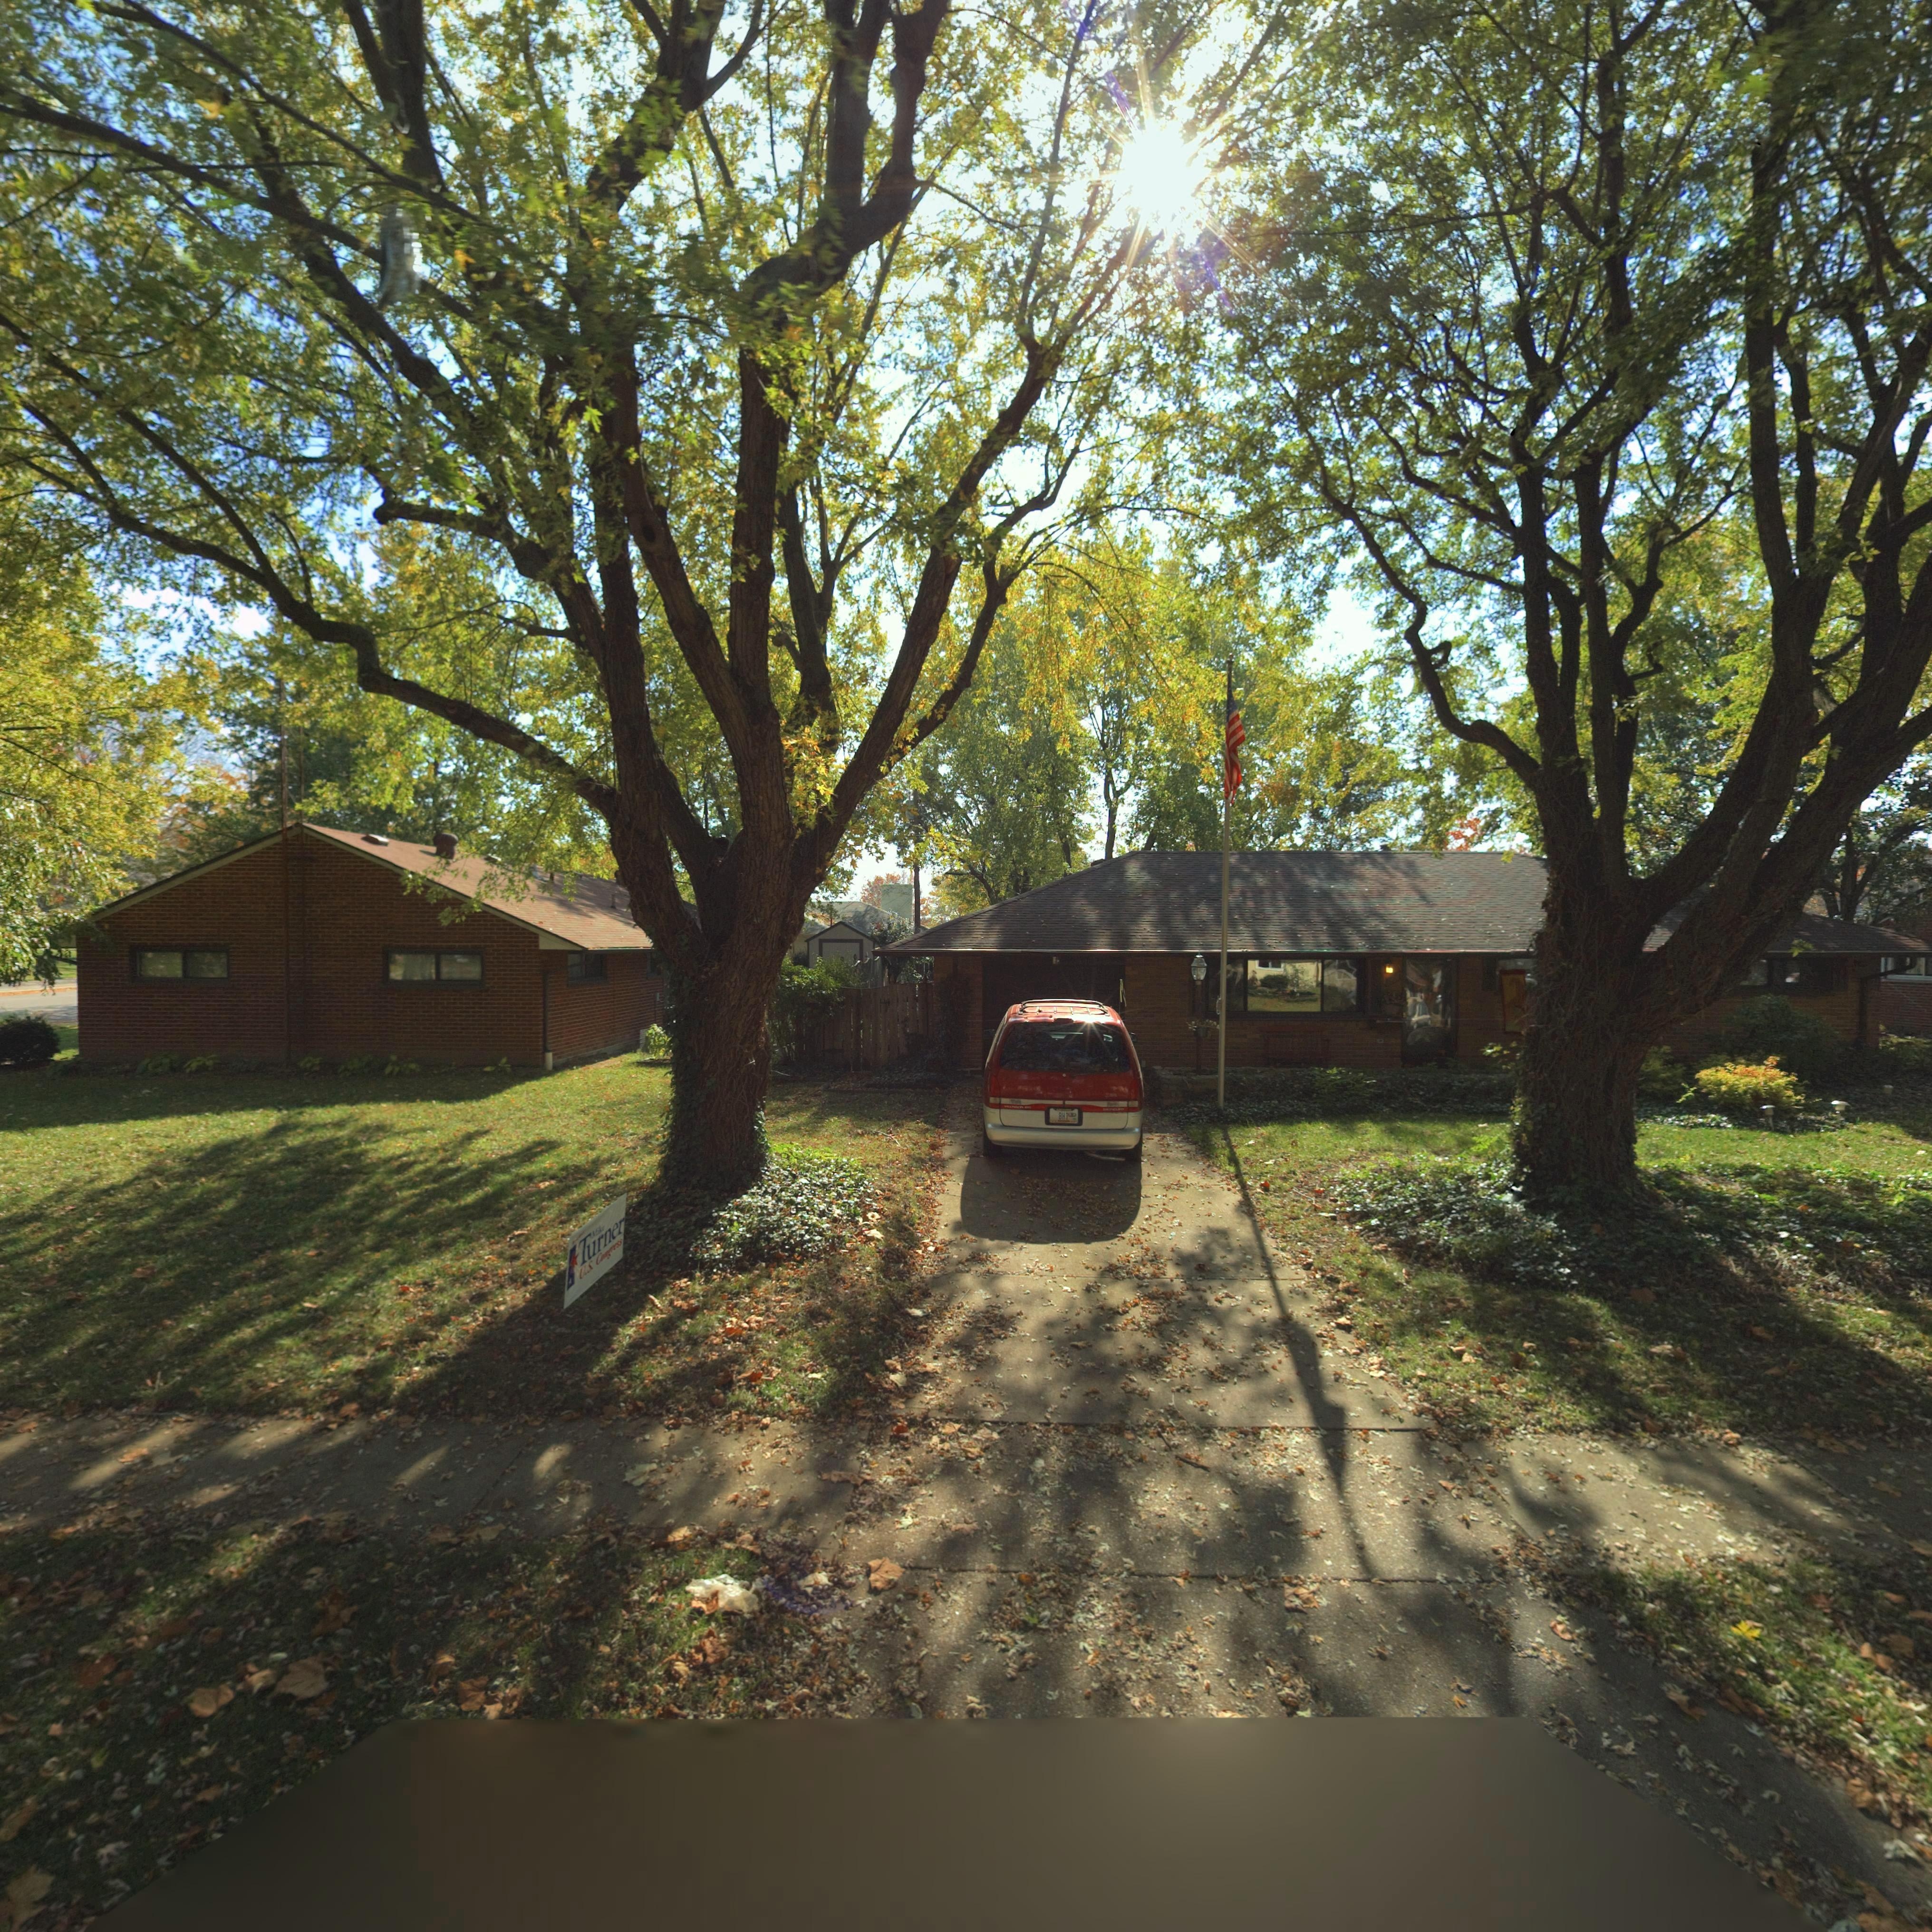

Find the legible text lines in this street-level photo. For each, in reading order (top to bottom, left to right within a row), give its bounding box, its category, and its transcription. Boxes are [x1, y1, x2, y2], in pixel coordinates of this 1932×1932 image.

[1058, 1111, 1066, 1120] None: BH
[576, 1215, 626, 1269] None: Turner